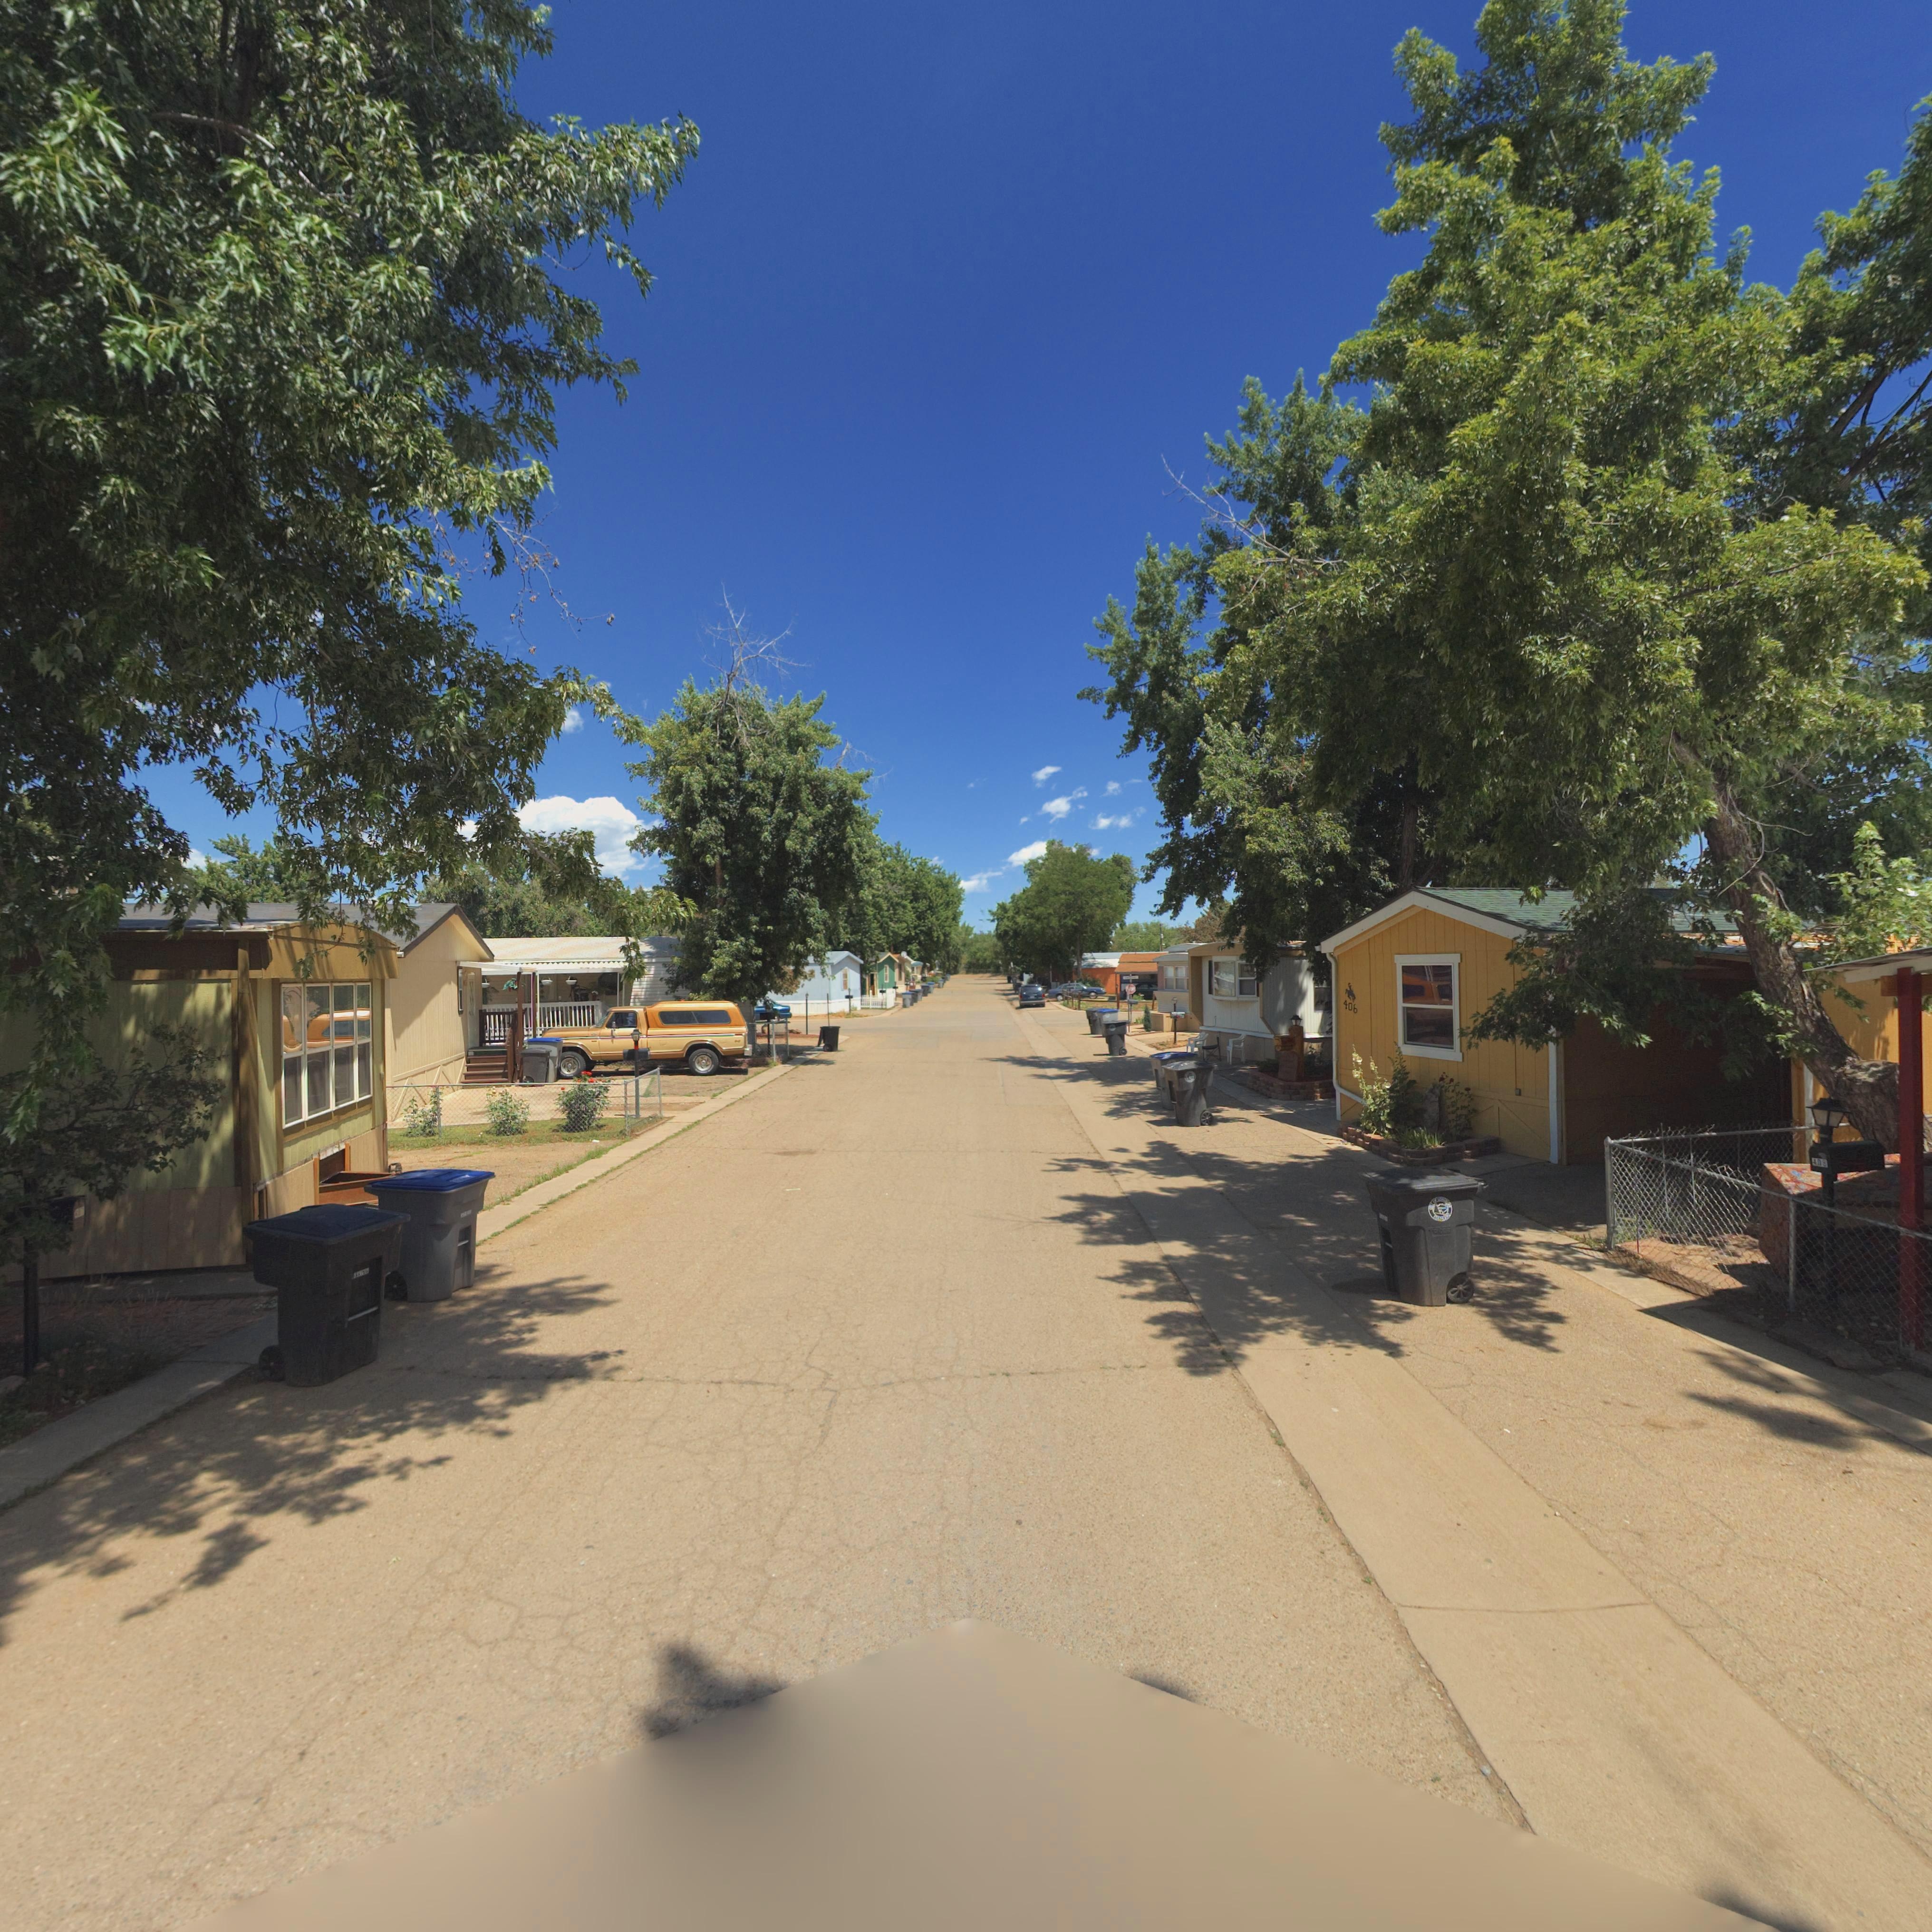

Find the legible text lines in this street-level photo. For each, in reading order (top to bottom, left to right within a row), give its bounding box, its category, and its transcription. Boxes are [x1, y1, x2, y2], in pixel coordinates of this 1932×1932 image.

[1343, 999, 1357, 1013] StreetNumber: 406
[1813, 1158, 1826, 1167] StreetNumber: 40*